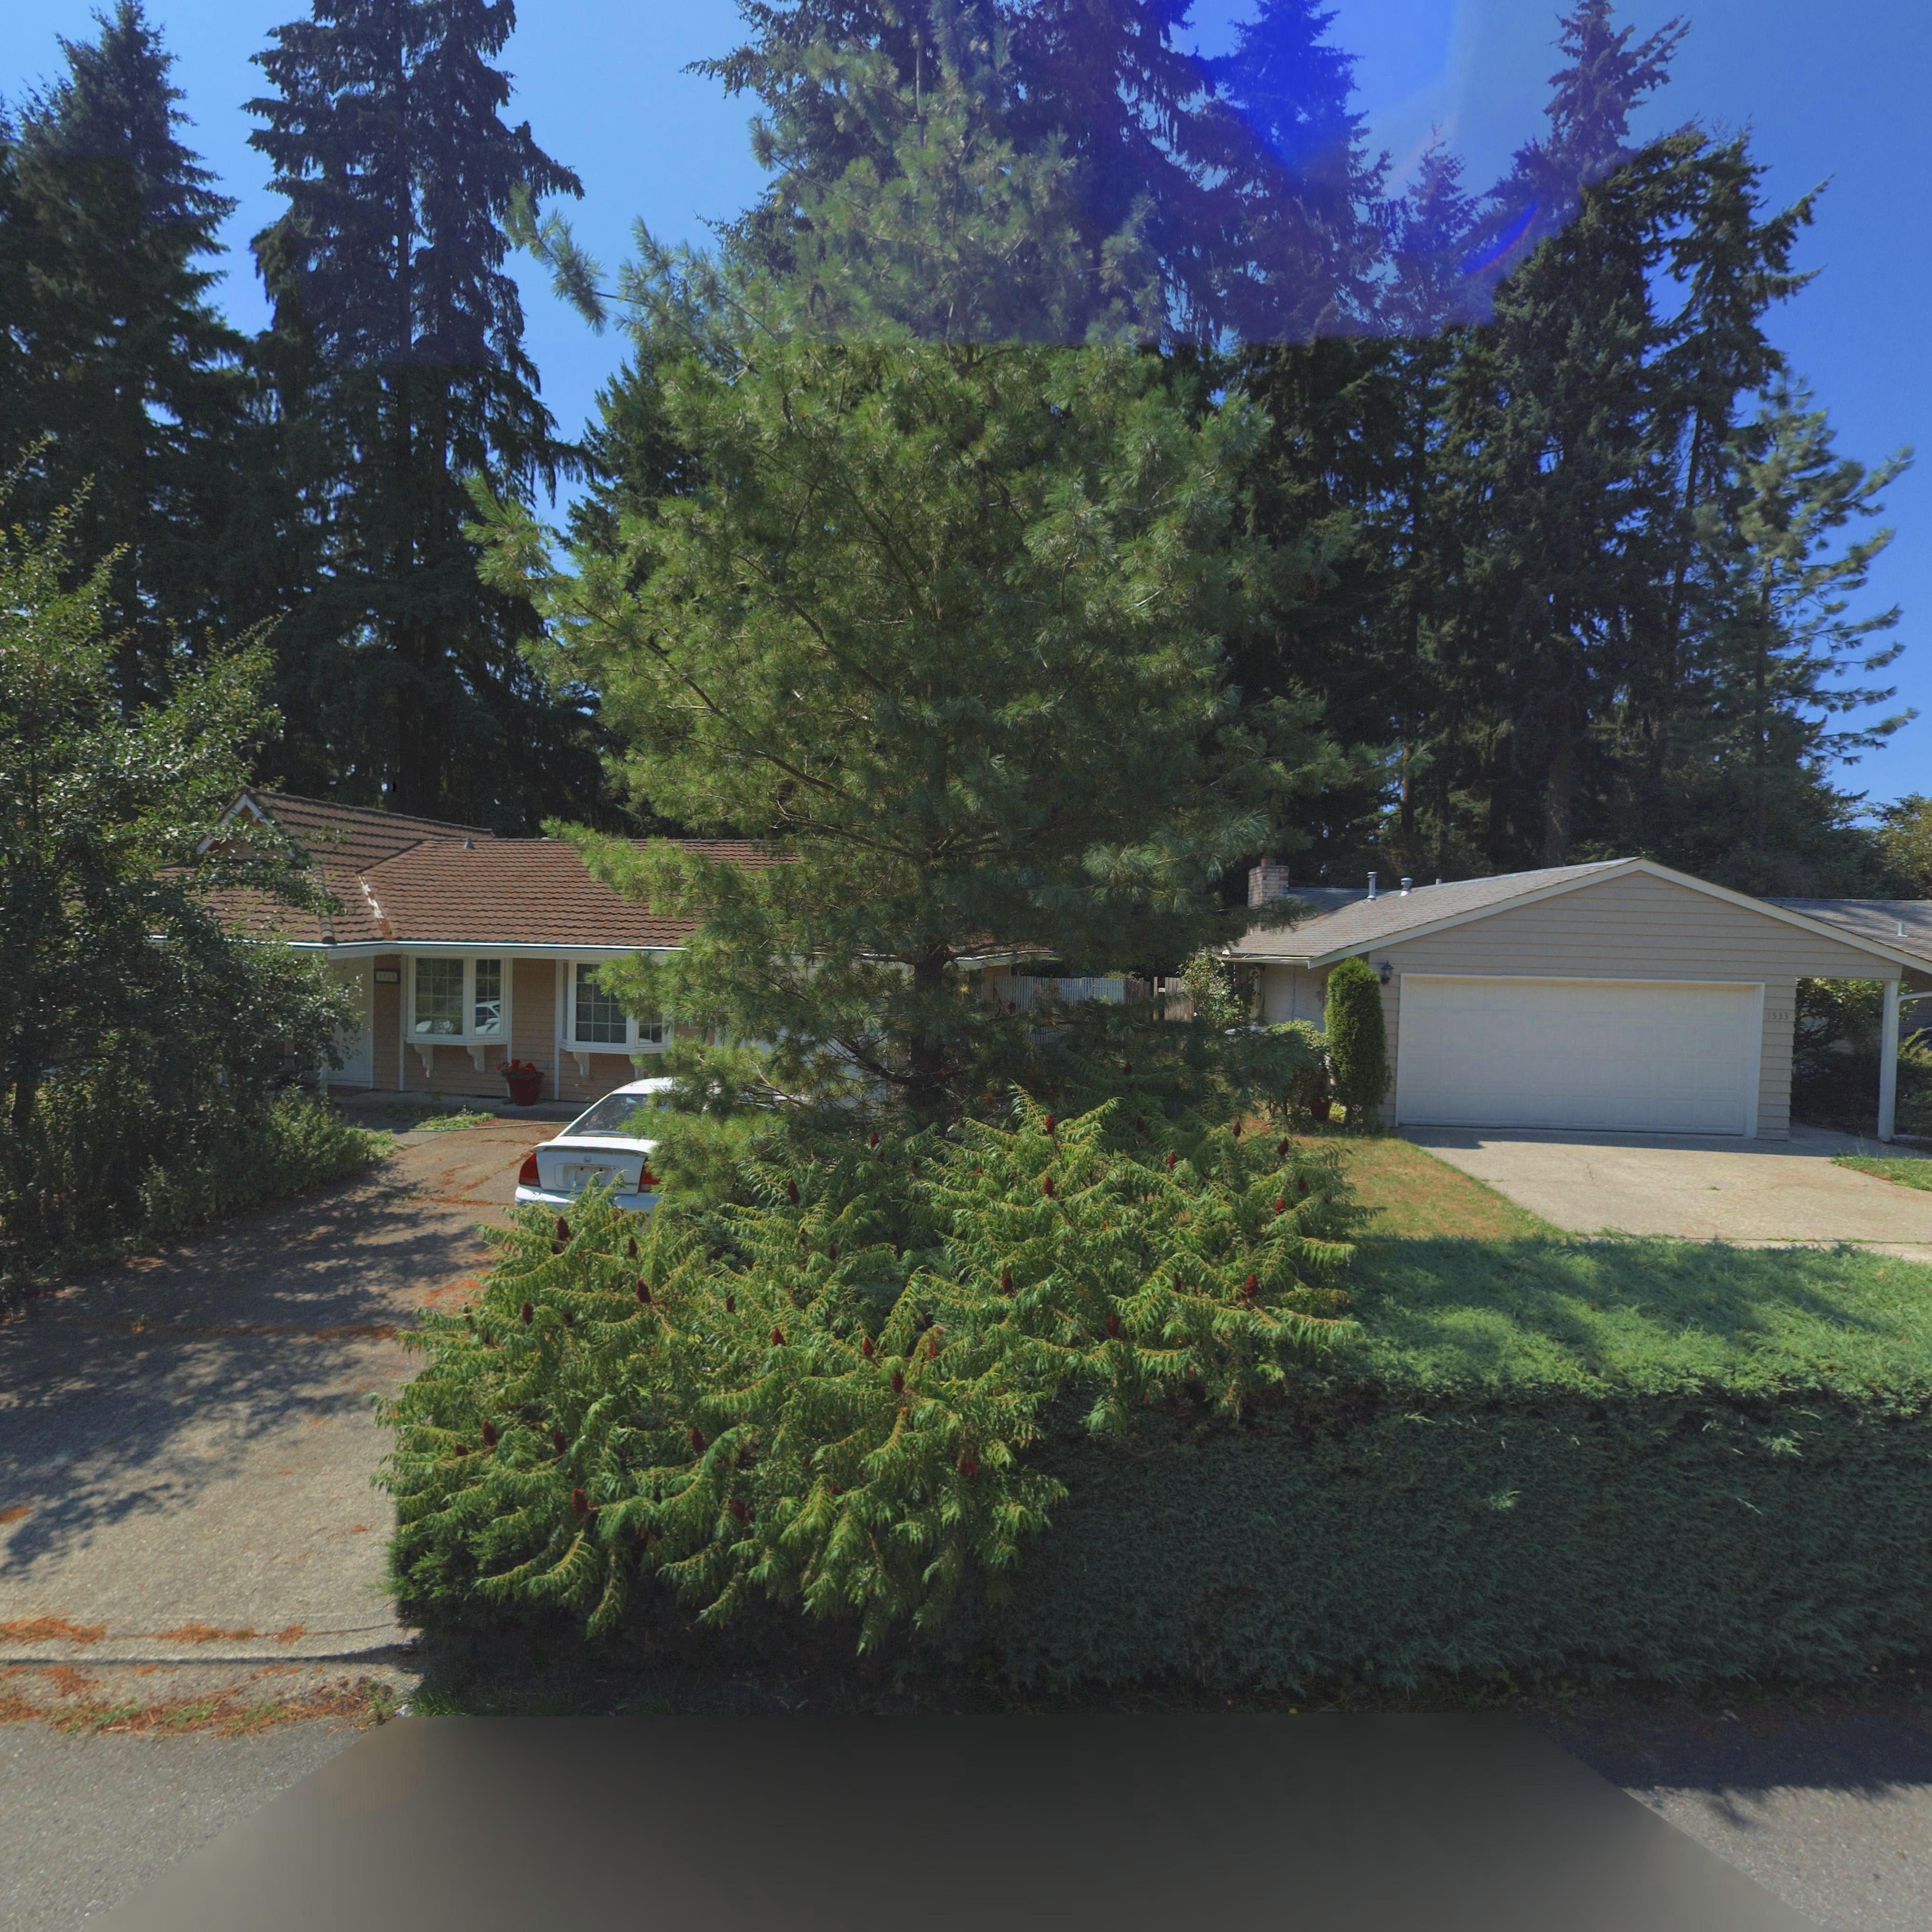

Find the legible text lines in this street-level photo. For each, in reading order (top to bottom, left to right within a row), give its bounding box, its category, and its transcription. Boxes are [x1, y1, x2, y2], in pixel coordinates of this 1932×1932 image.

[1766, 1010, 1788, 1020] StreetNumber: 1533